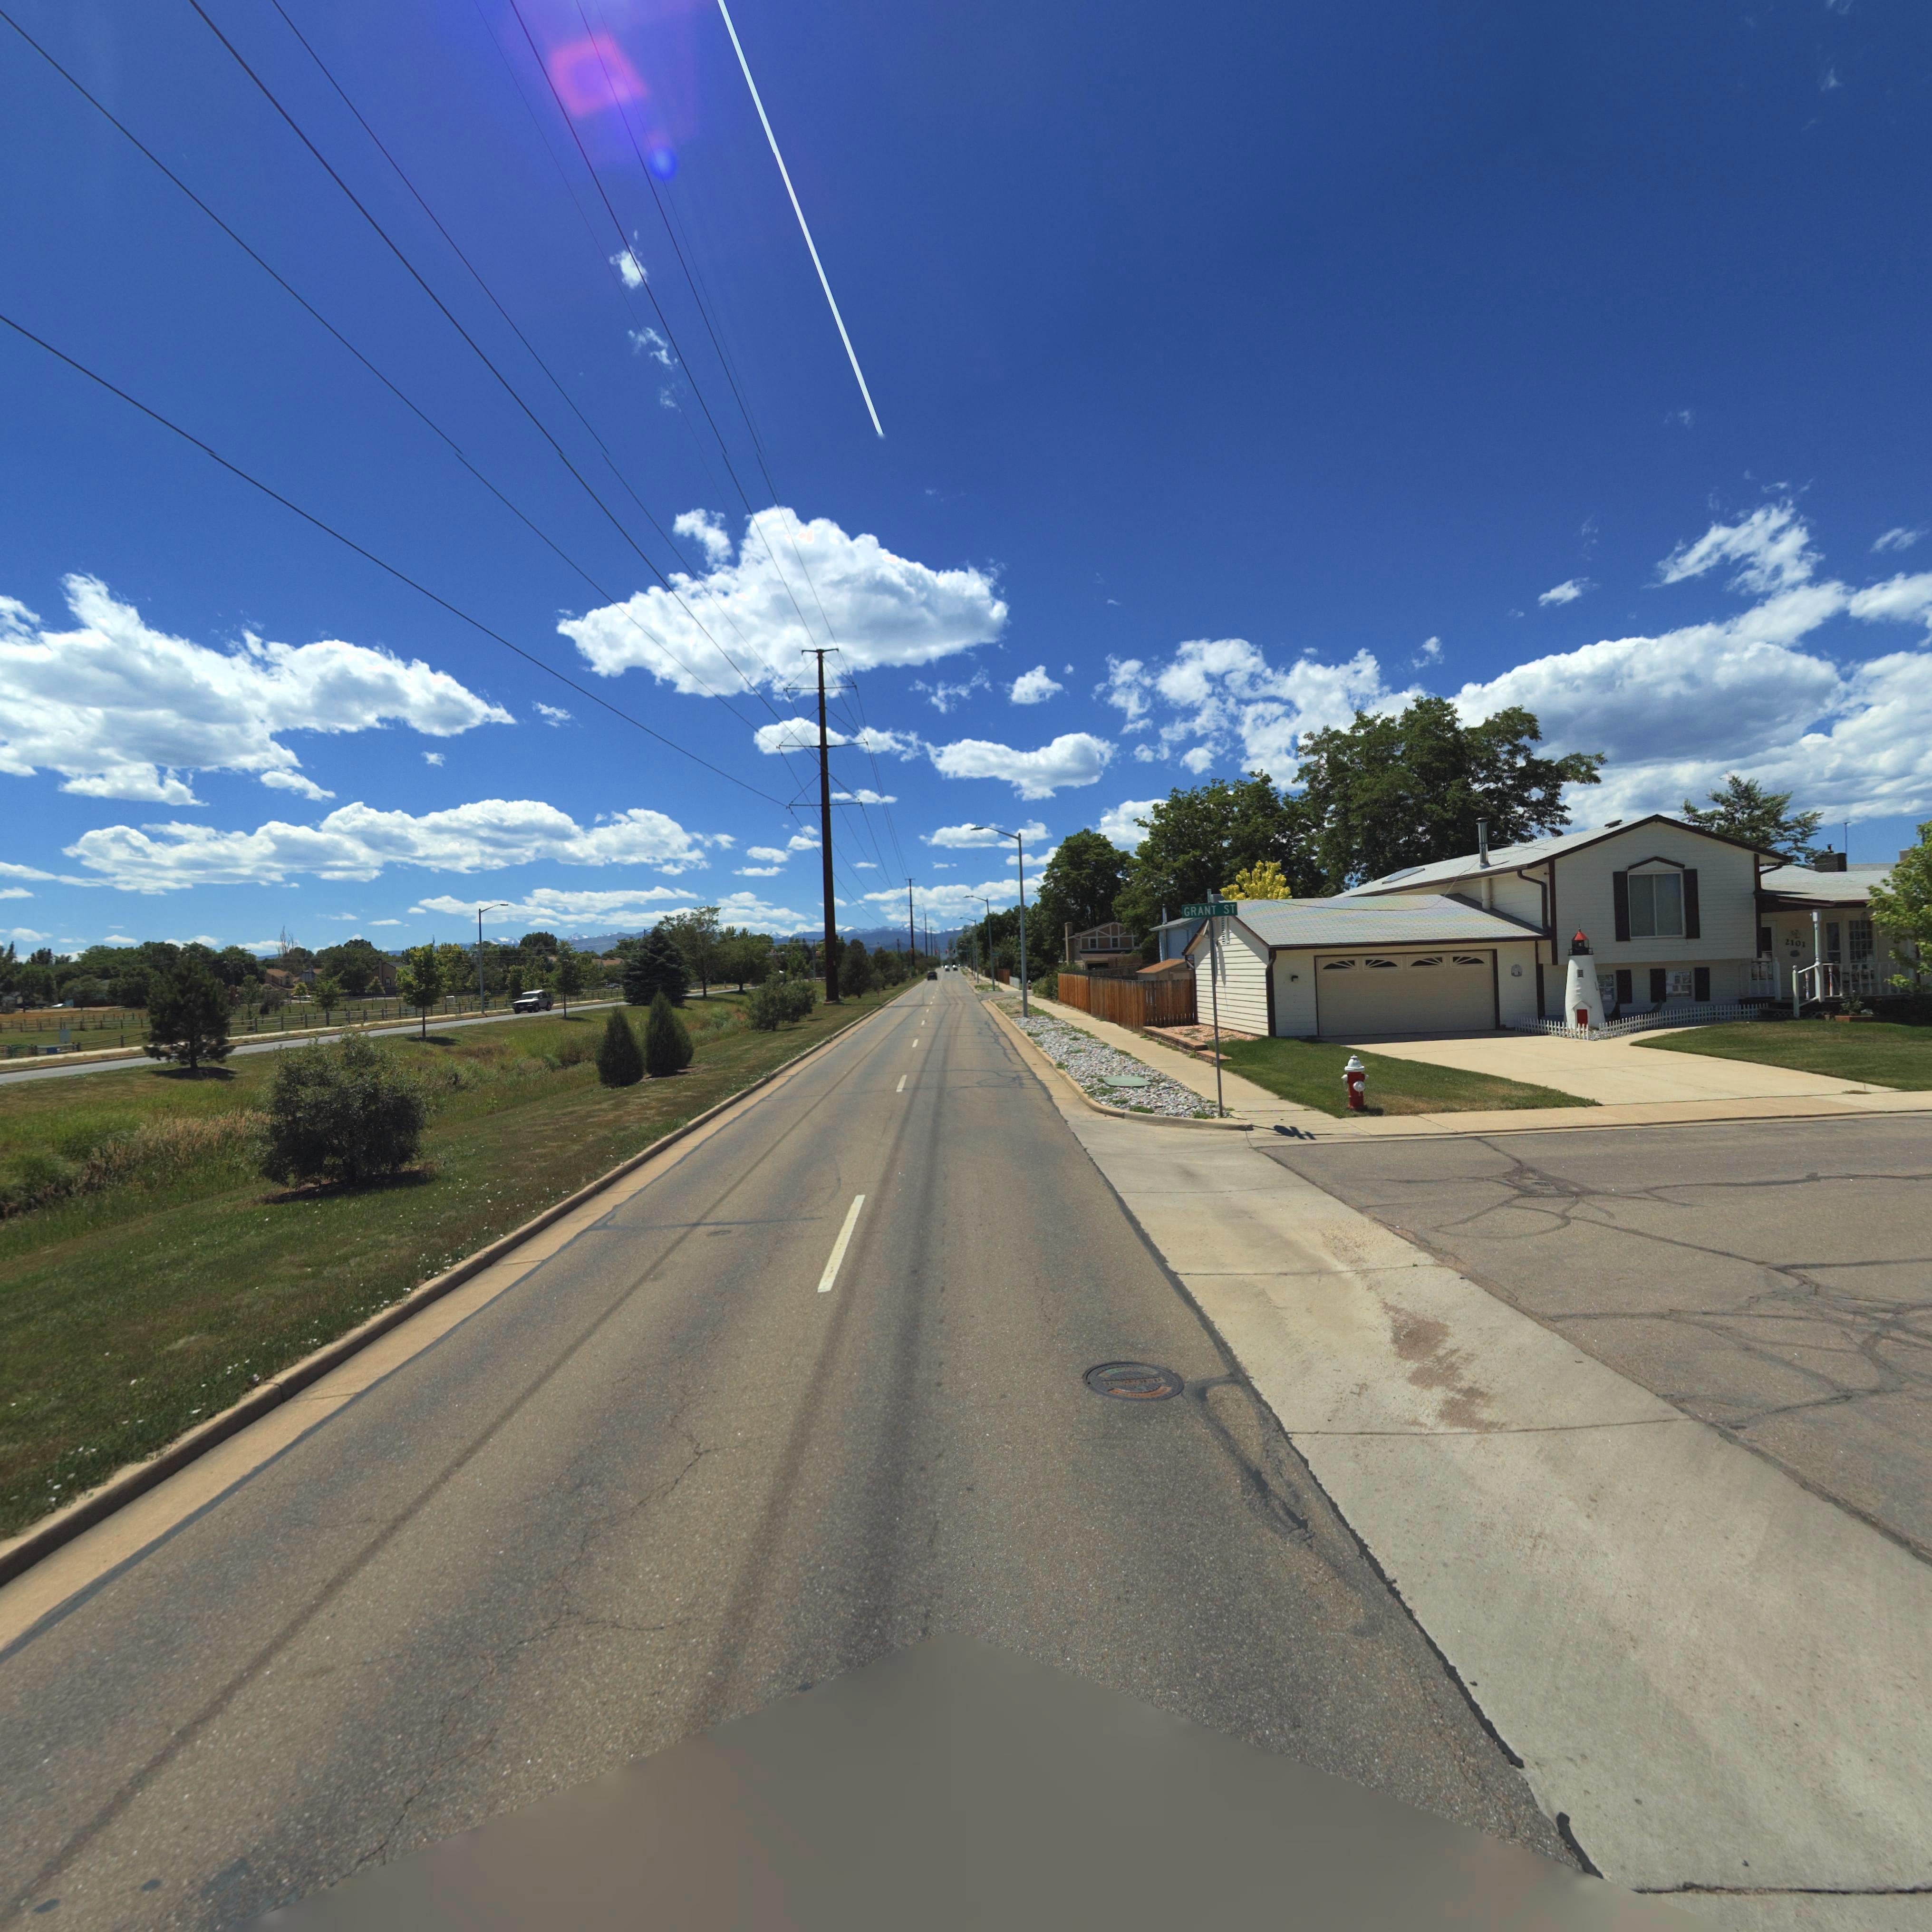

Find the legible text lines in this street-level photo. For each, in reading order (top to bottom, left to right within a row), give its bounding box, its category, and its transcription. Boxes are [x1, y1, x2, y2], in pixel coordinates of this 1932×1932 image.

[1183, 903, 1236, 917] StreetName: GRANT ST
[1785, 938, 1806, 947] StreetNumber: 2101